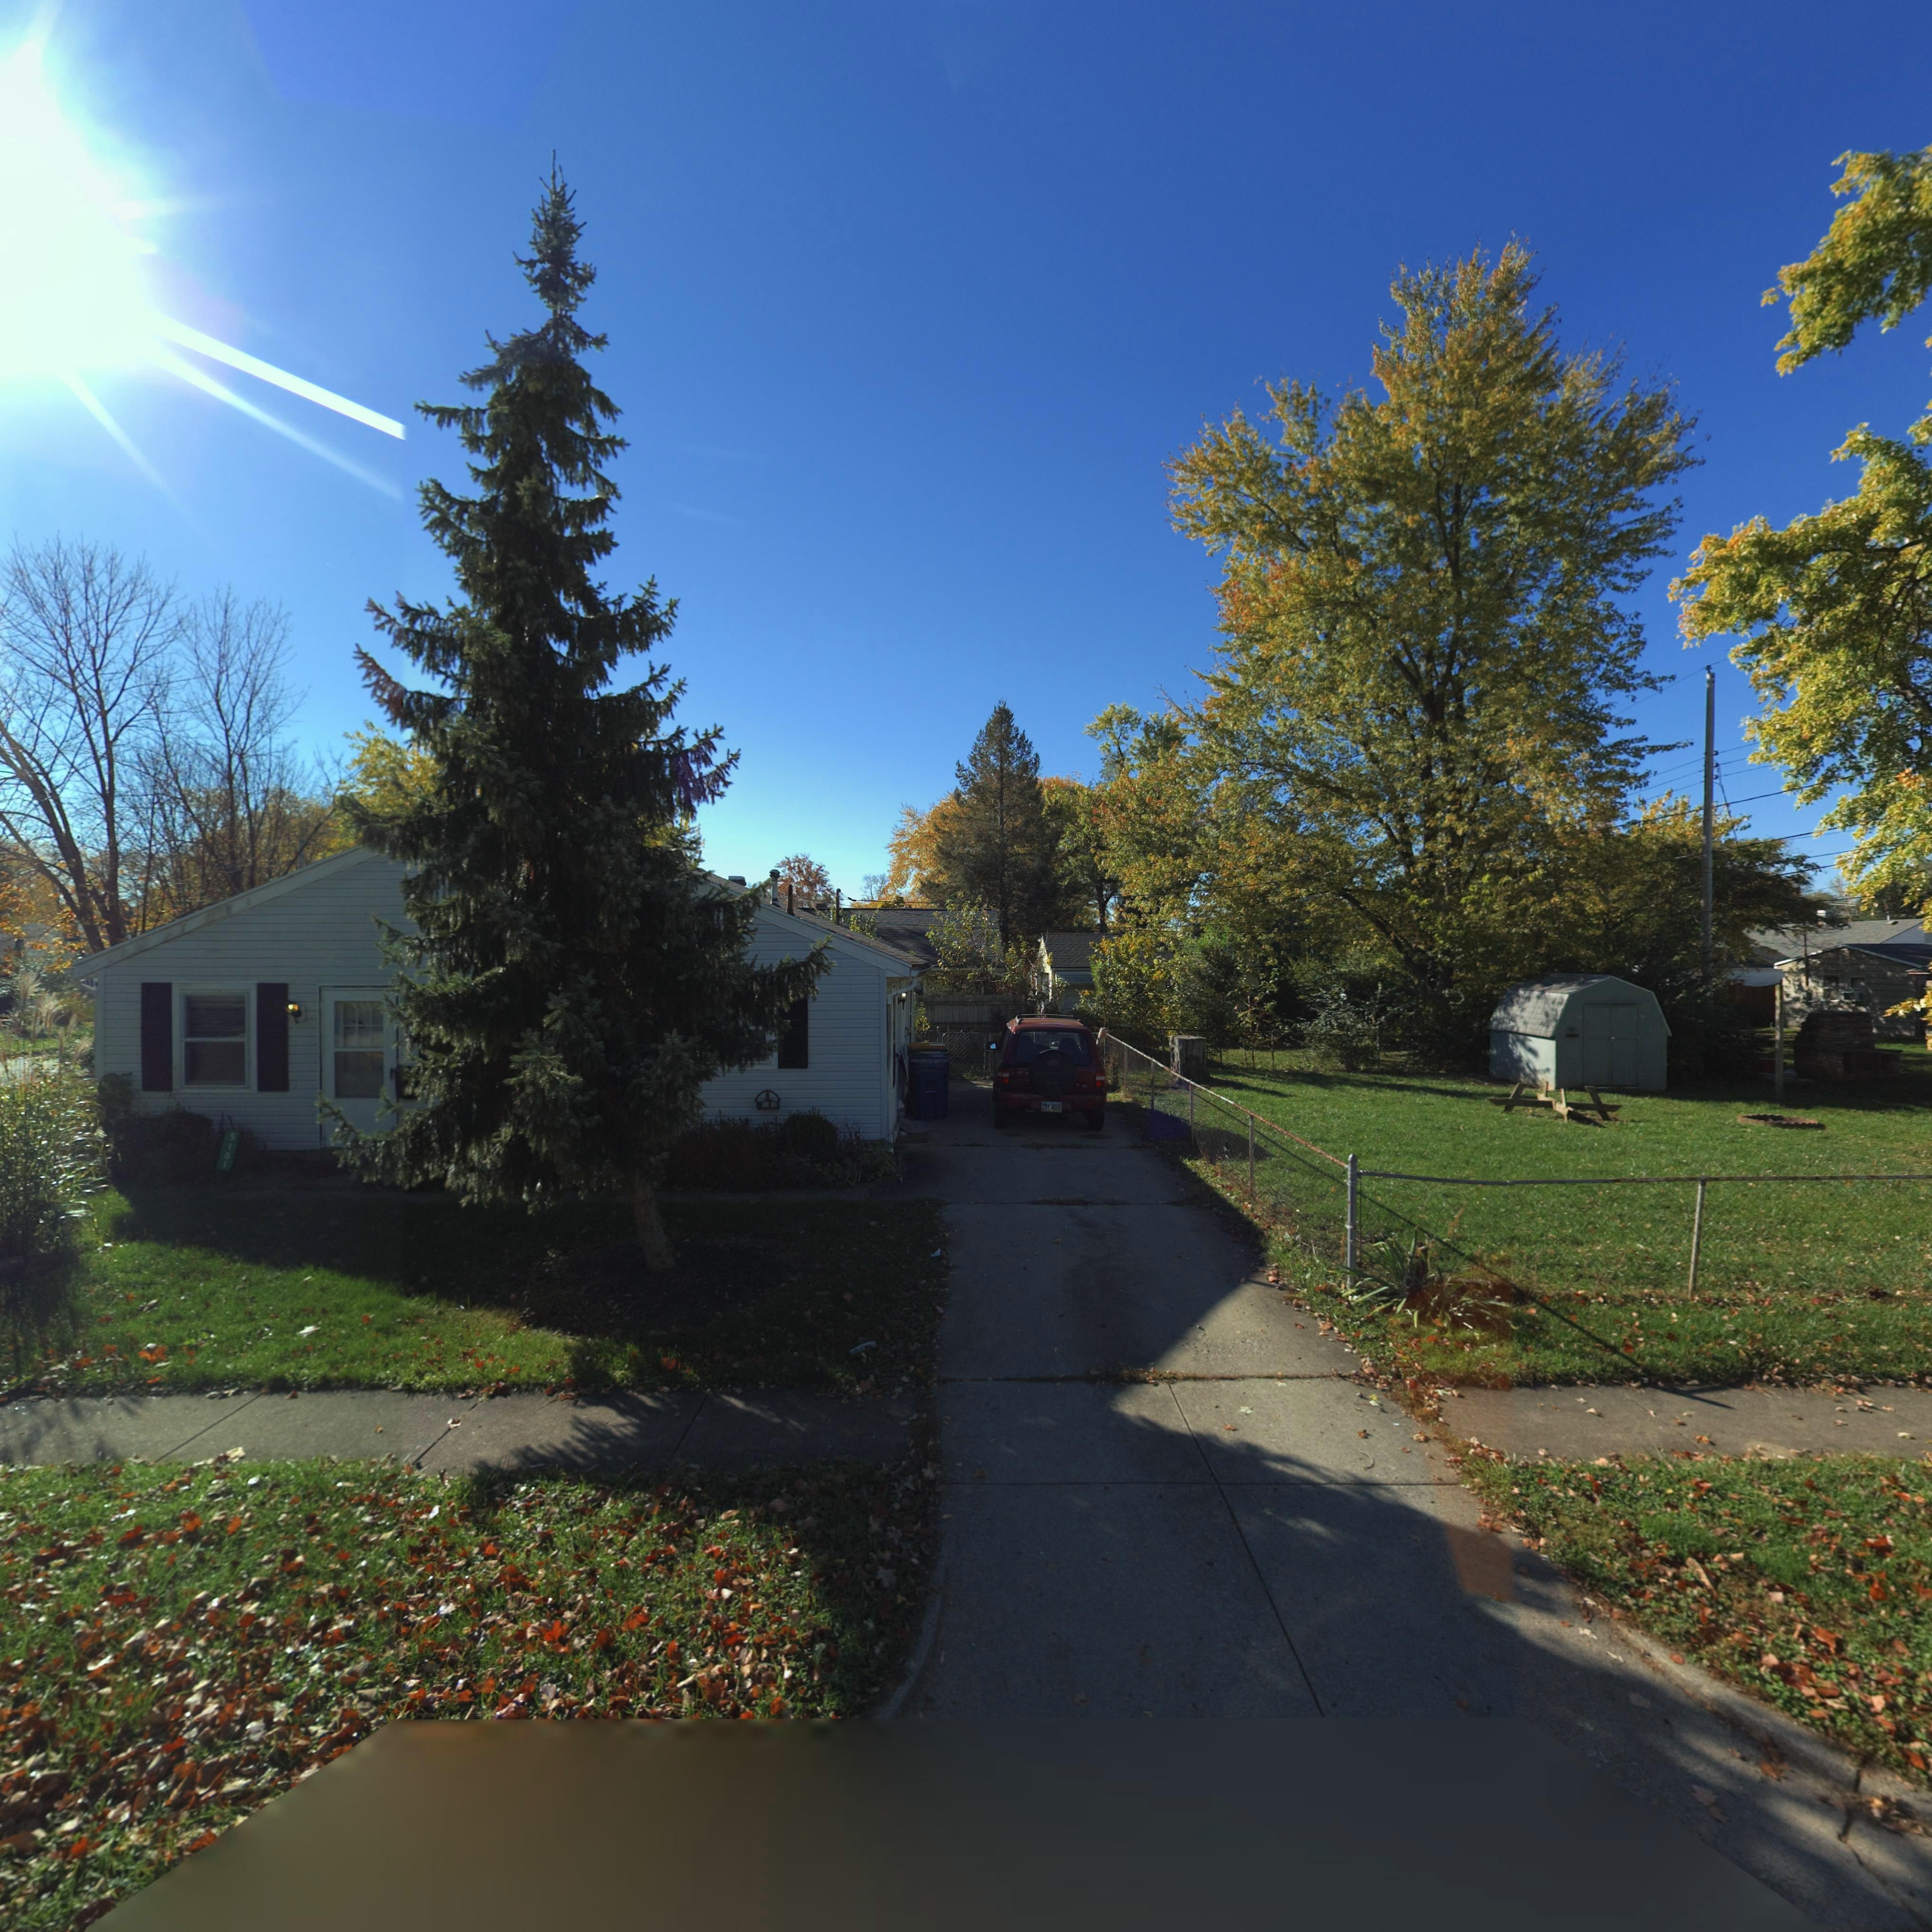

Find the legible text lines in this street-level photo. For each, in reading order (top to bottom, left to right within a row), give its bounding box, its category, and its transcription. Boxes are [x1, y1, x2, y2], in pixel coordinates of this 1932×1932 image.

[220, 1131, 238, 1169] StreetNumber: 5101